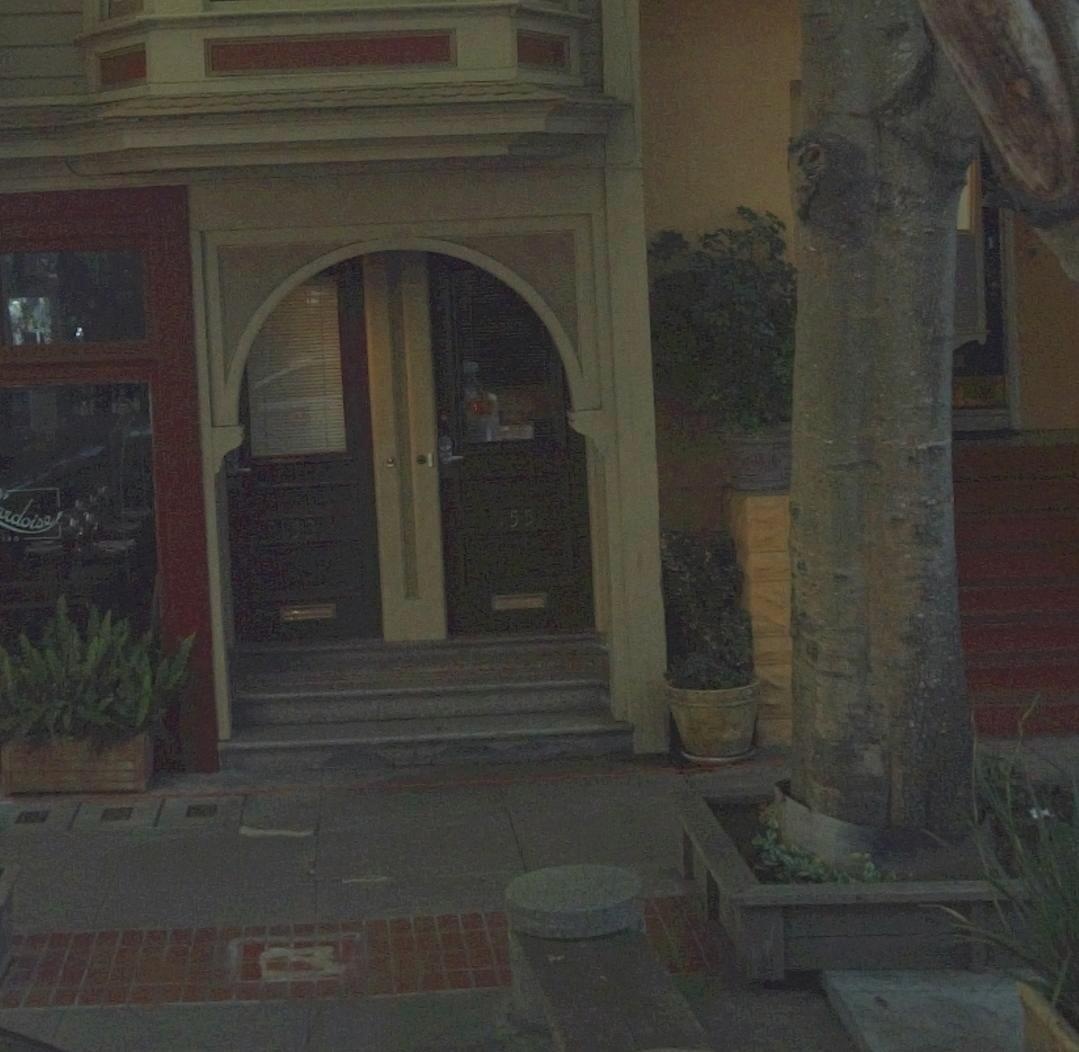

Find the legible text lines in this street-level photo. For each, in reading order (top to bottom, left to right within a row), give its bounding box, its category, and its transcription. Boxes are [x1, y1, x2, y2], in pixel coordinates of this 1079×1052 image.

[278, 518, 320, 542] StreetNumber: 153
[491, 508, 535, 532] StreetNumber: 155